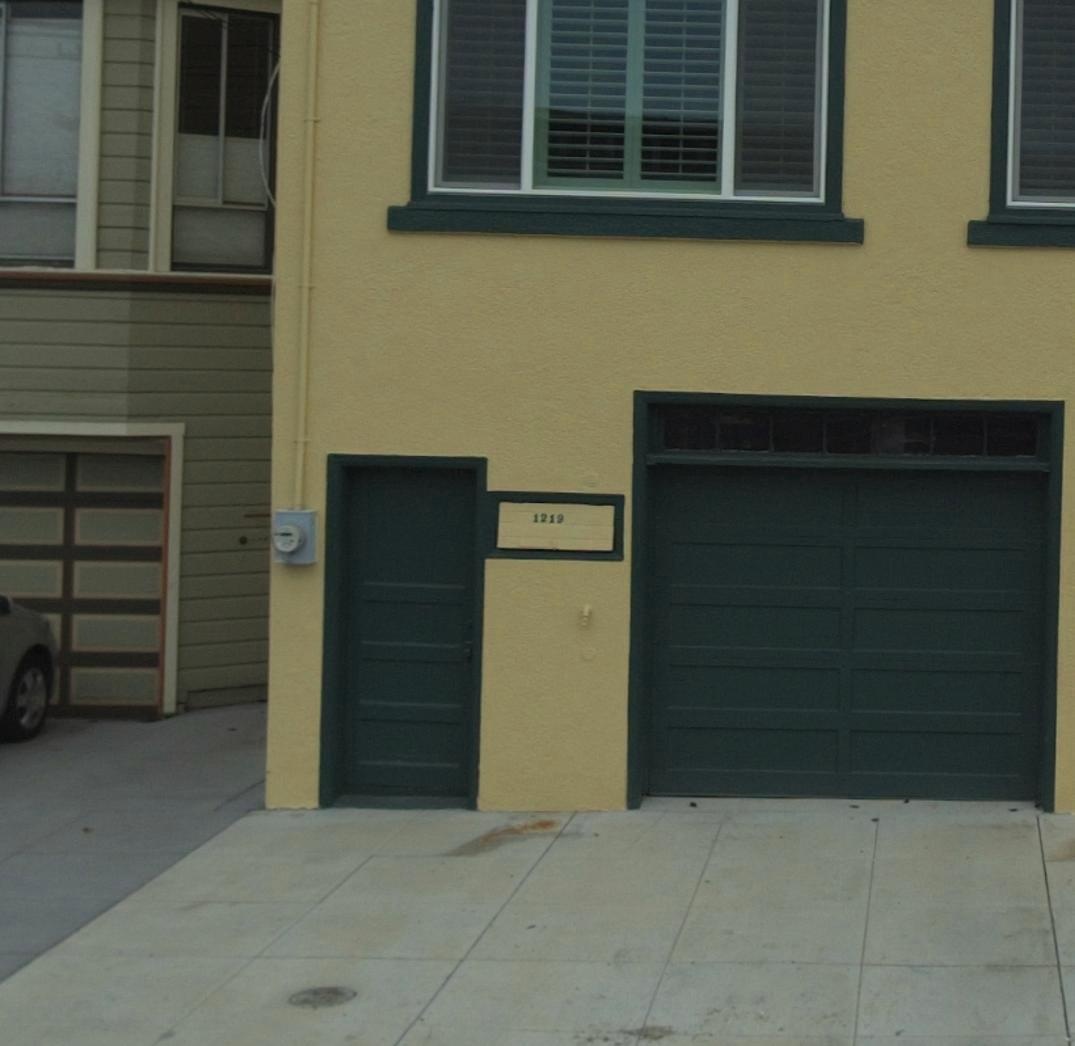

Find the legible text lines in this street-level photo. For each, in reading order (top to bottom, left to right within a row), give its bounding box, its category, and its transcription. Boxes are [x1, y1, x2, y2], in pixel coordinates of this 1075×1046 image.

[532, 512, 565, 524] StreetNumber: 1219